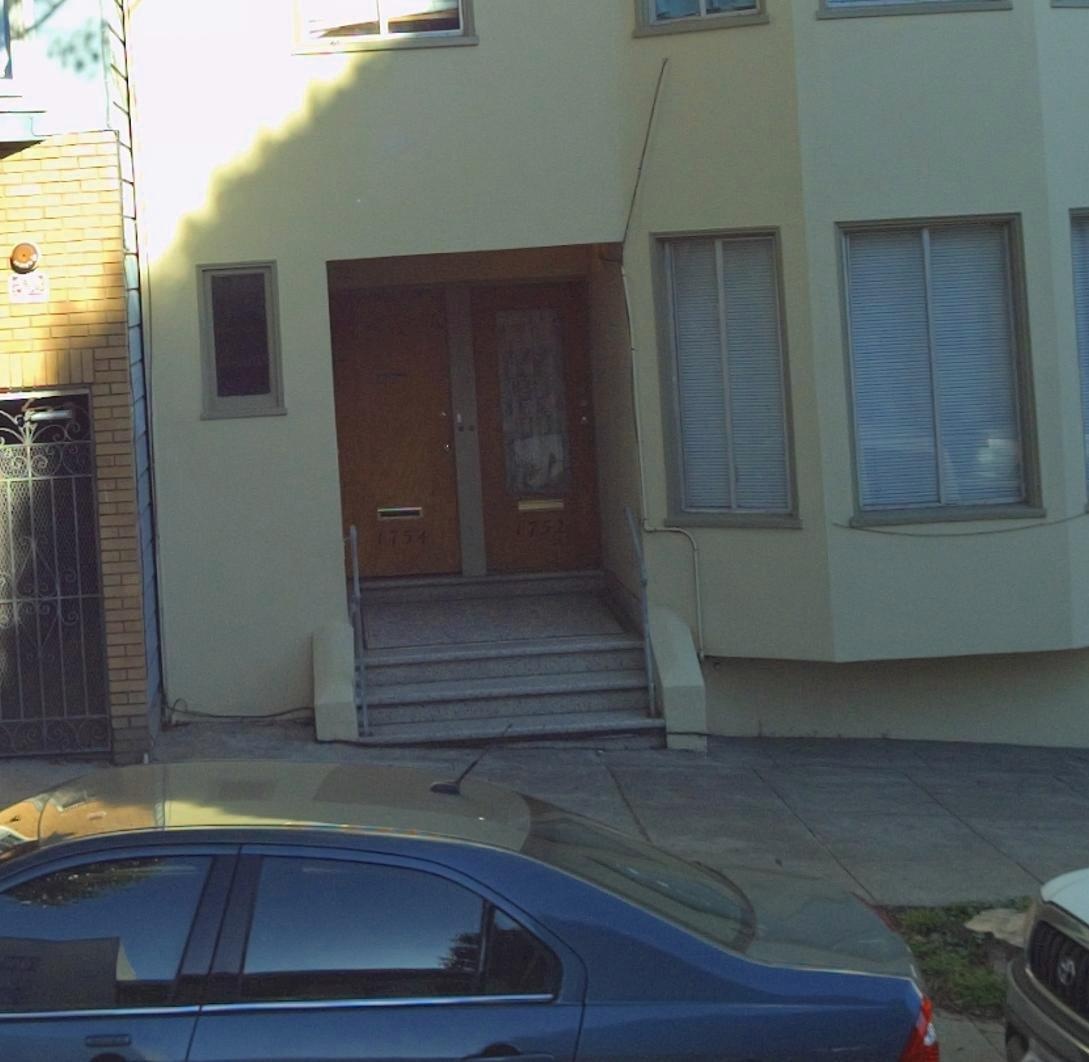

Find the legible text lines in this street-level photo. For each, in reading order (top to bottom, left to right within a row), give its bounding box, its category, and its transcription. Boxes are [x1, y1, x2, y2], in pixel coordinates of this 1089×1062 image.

[373, 528, 430, 546] StreetNumber: 1754
[513, 518, 568, 541] StreetNumber: 1752